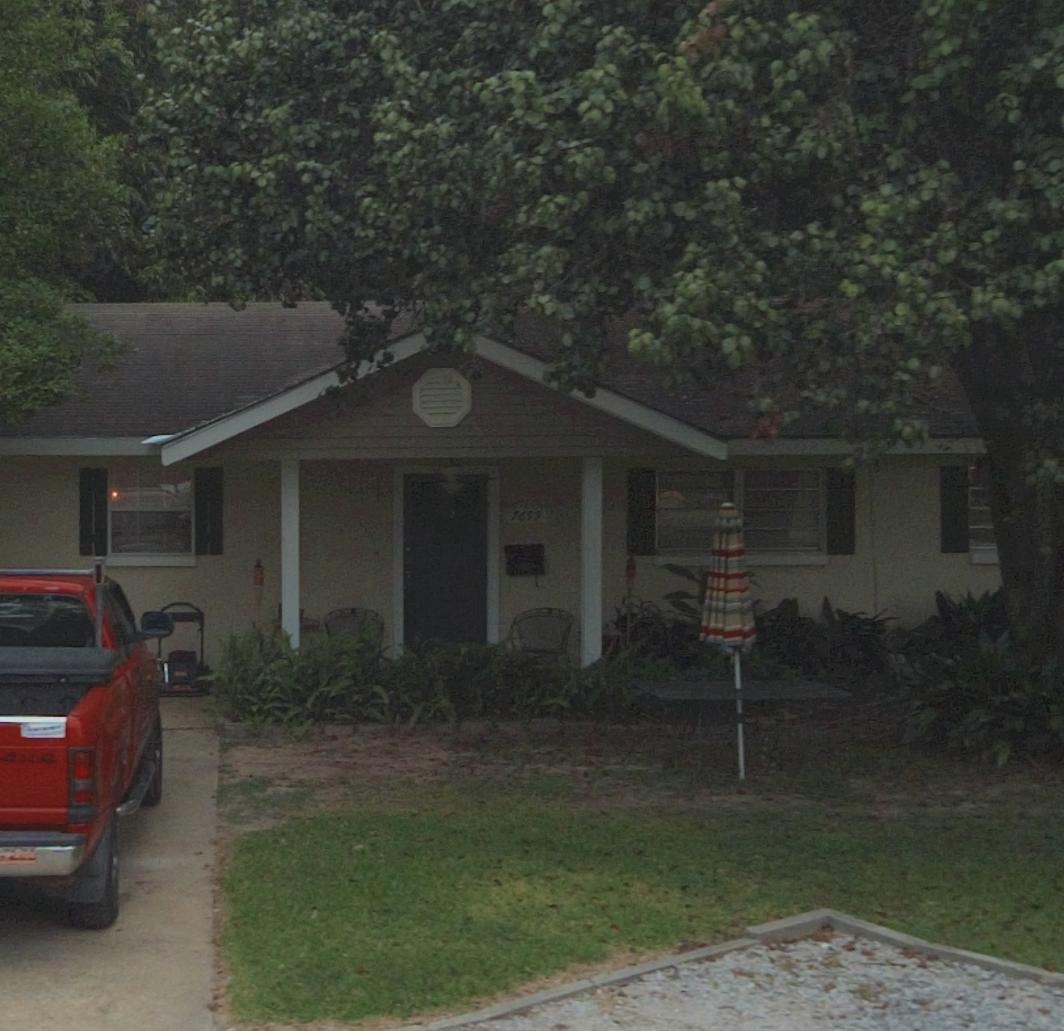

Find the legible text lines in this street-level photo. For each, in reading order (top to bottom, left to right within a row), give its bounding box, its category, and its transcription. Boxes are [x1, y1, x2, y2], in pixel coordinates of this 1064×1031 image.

[511, 510, 542, 521] StreetNumber: 7599
[0, 748, 57, 765] None: 4x4